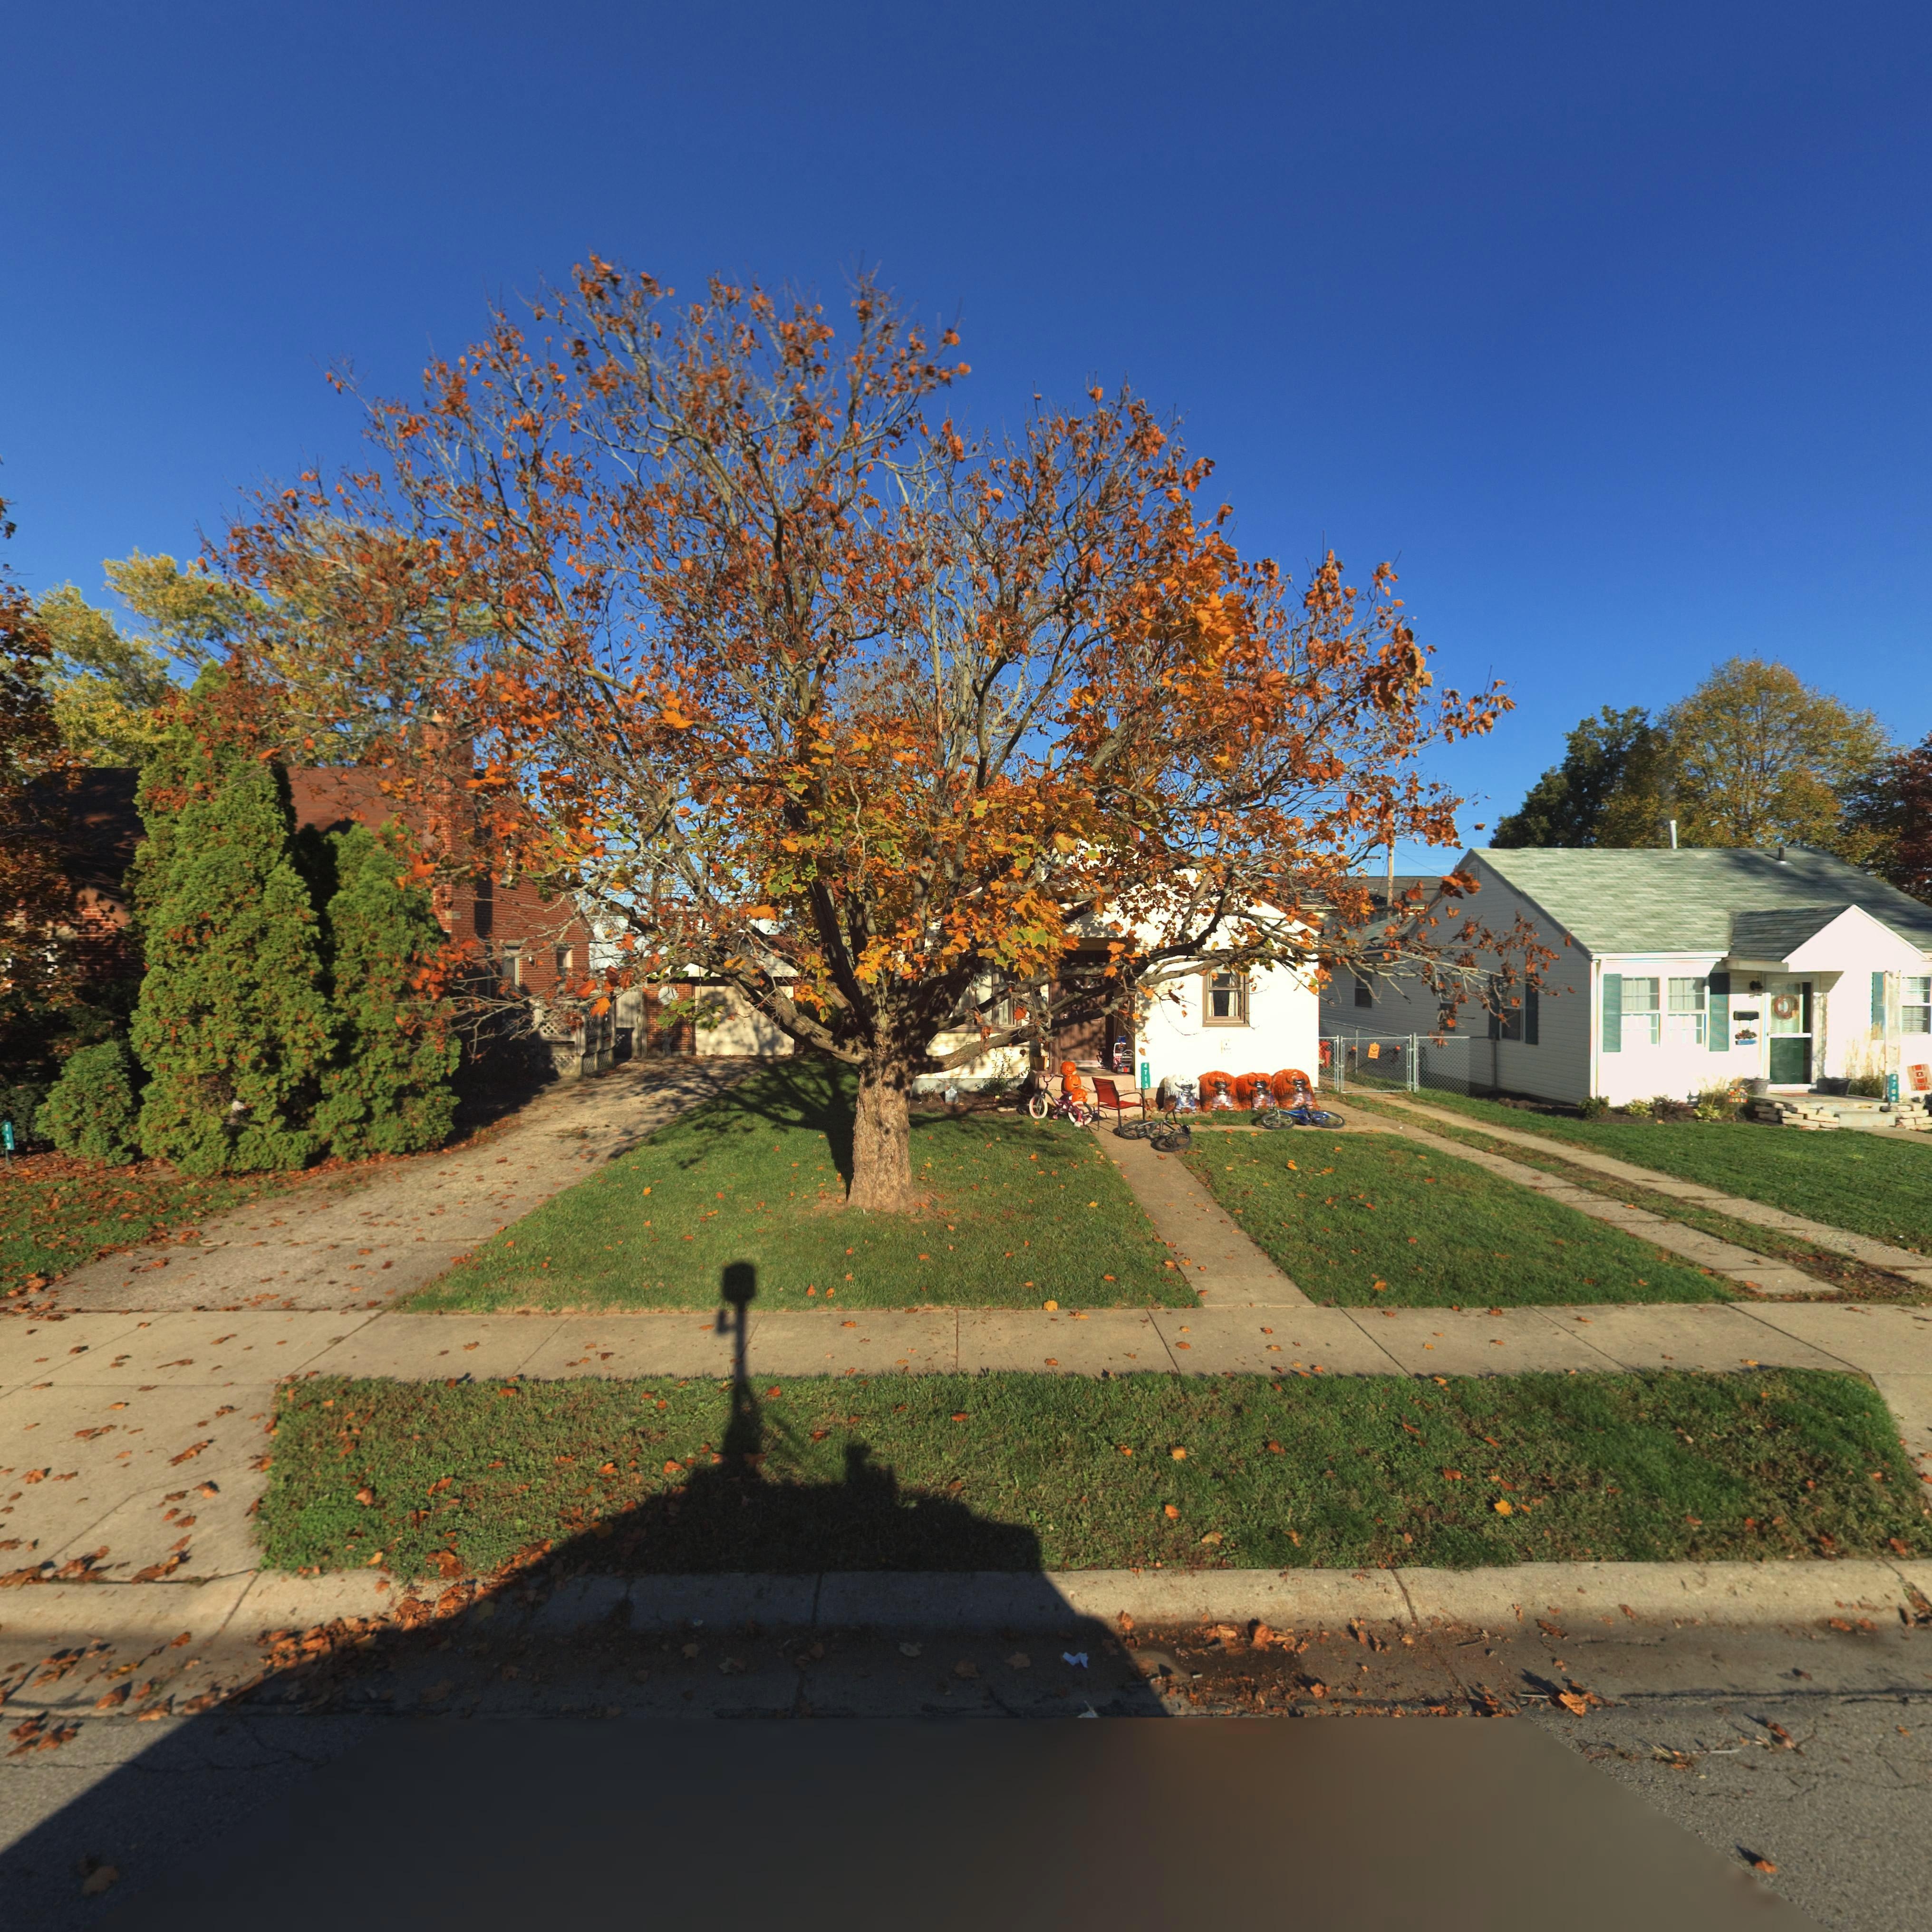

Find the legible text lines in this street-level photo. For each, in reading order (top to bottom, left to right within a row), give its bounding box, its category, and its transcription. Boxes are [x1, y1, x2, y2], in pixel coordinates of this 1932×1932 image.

[1143, 1062, 1149, 1090] StreetNumber: 4713